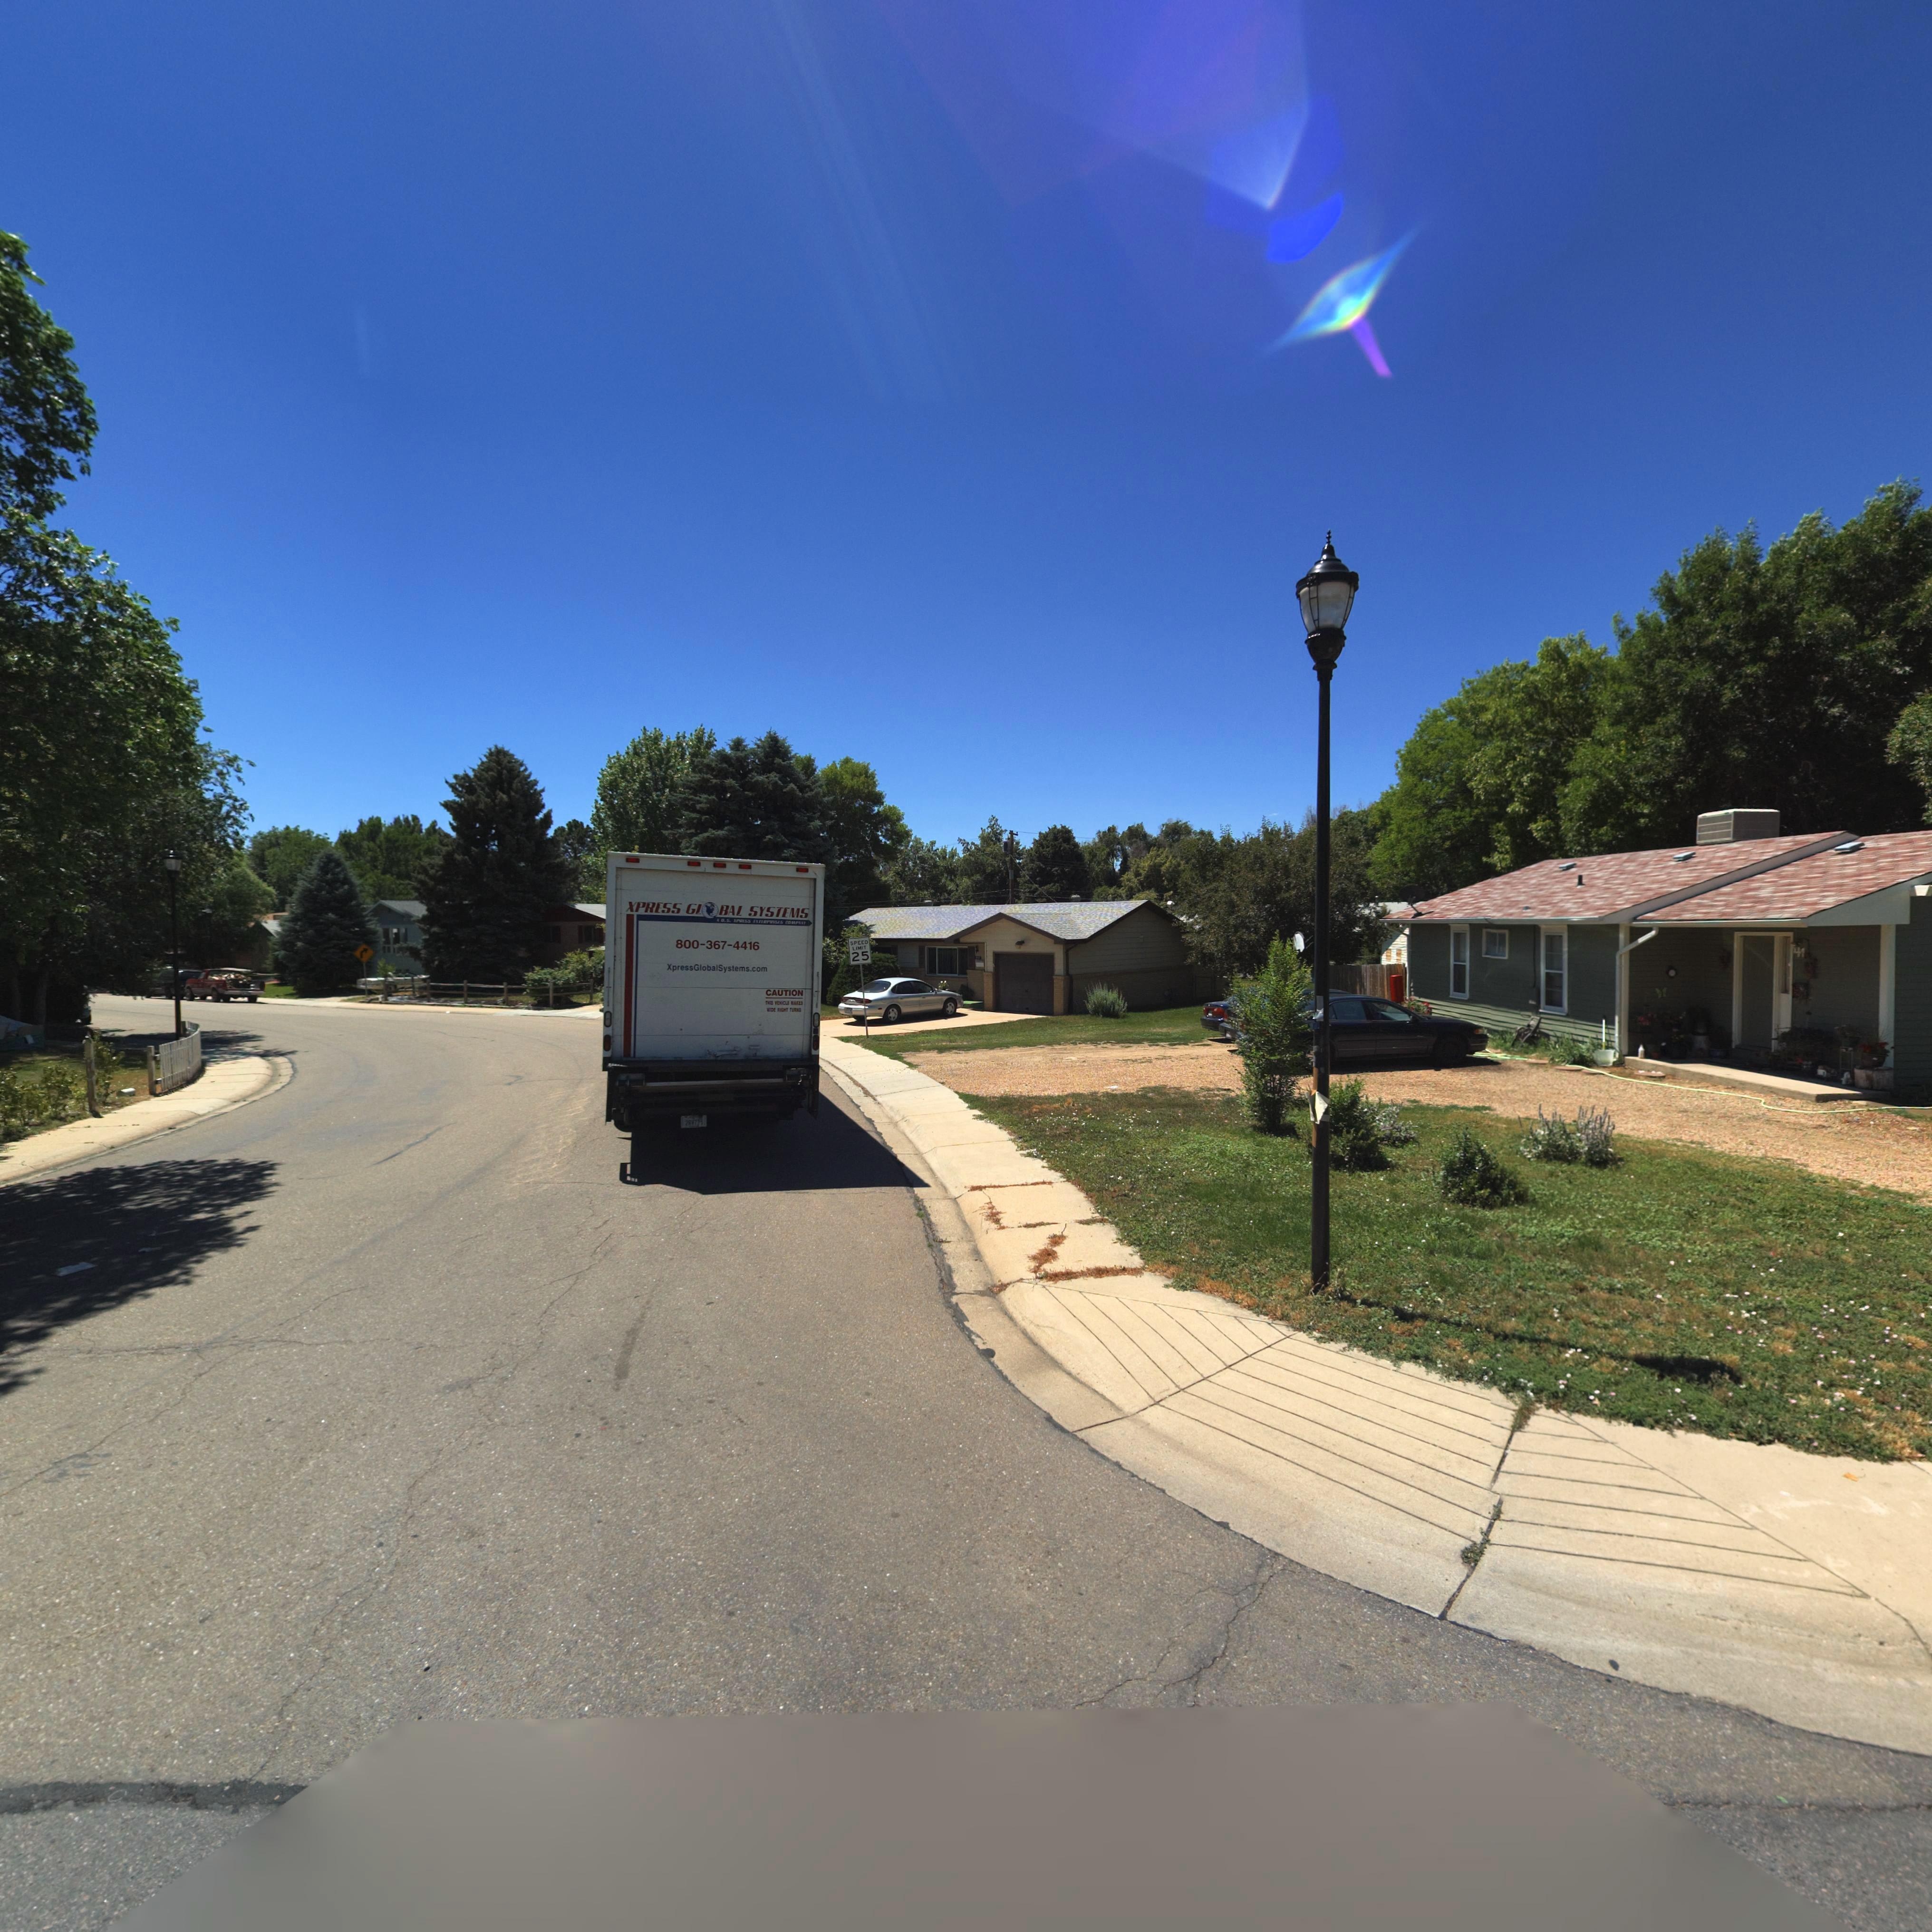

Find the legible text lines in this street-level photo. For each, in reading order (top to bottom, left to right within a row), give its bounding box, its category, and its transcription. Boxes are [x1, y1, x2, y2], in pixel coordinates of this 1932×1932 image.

[1793, 947, 1805, 958] StreetNumber: 41